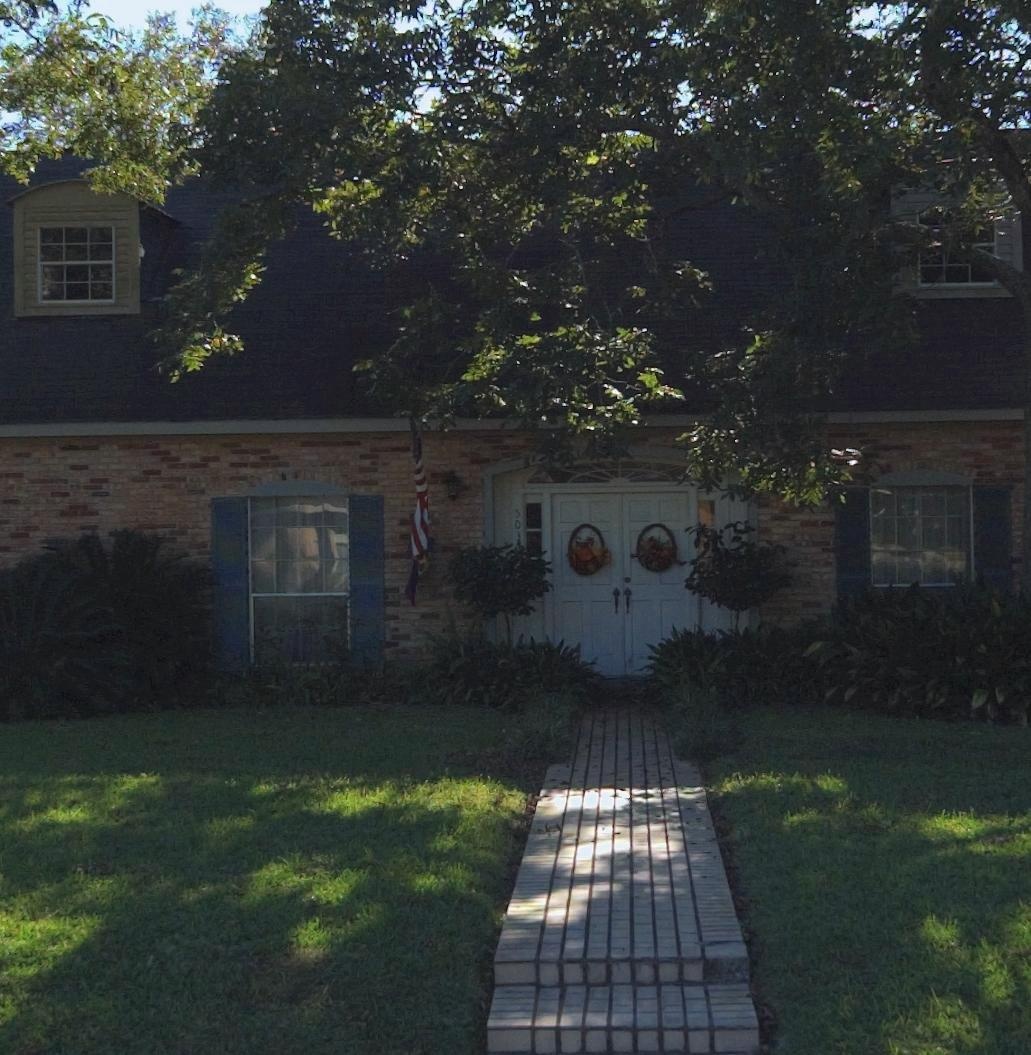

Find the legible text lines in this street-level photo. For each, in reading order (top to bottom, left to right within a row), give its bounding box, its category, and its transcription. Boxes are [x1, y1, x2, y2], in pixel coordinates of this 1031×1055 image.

[512, 506, 523, 531] StreetNumber: *0